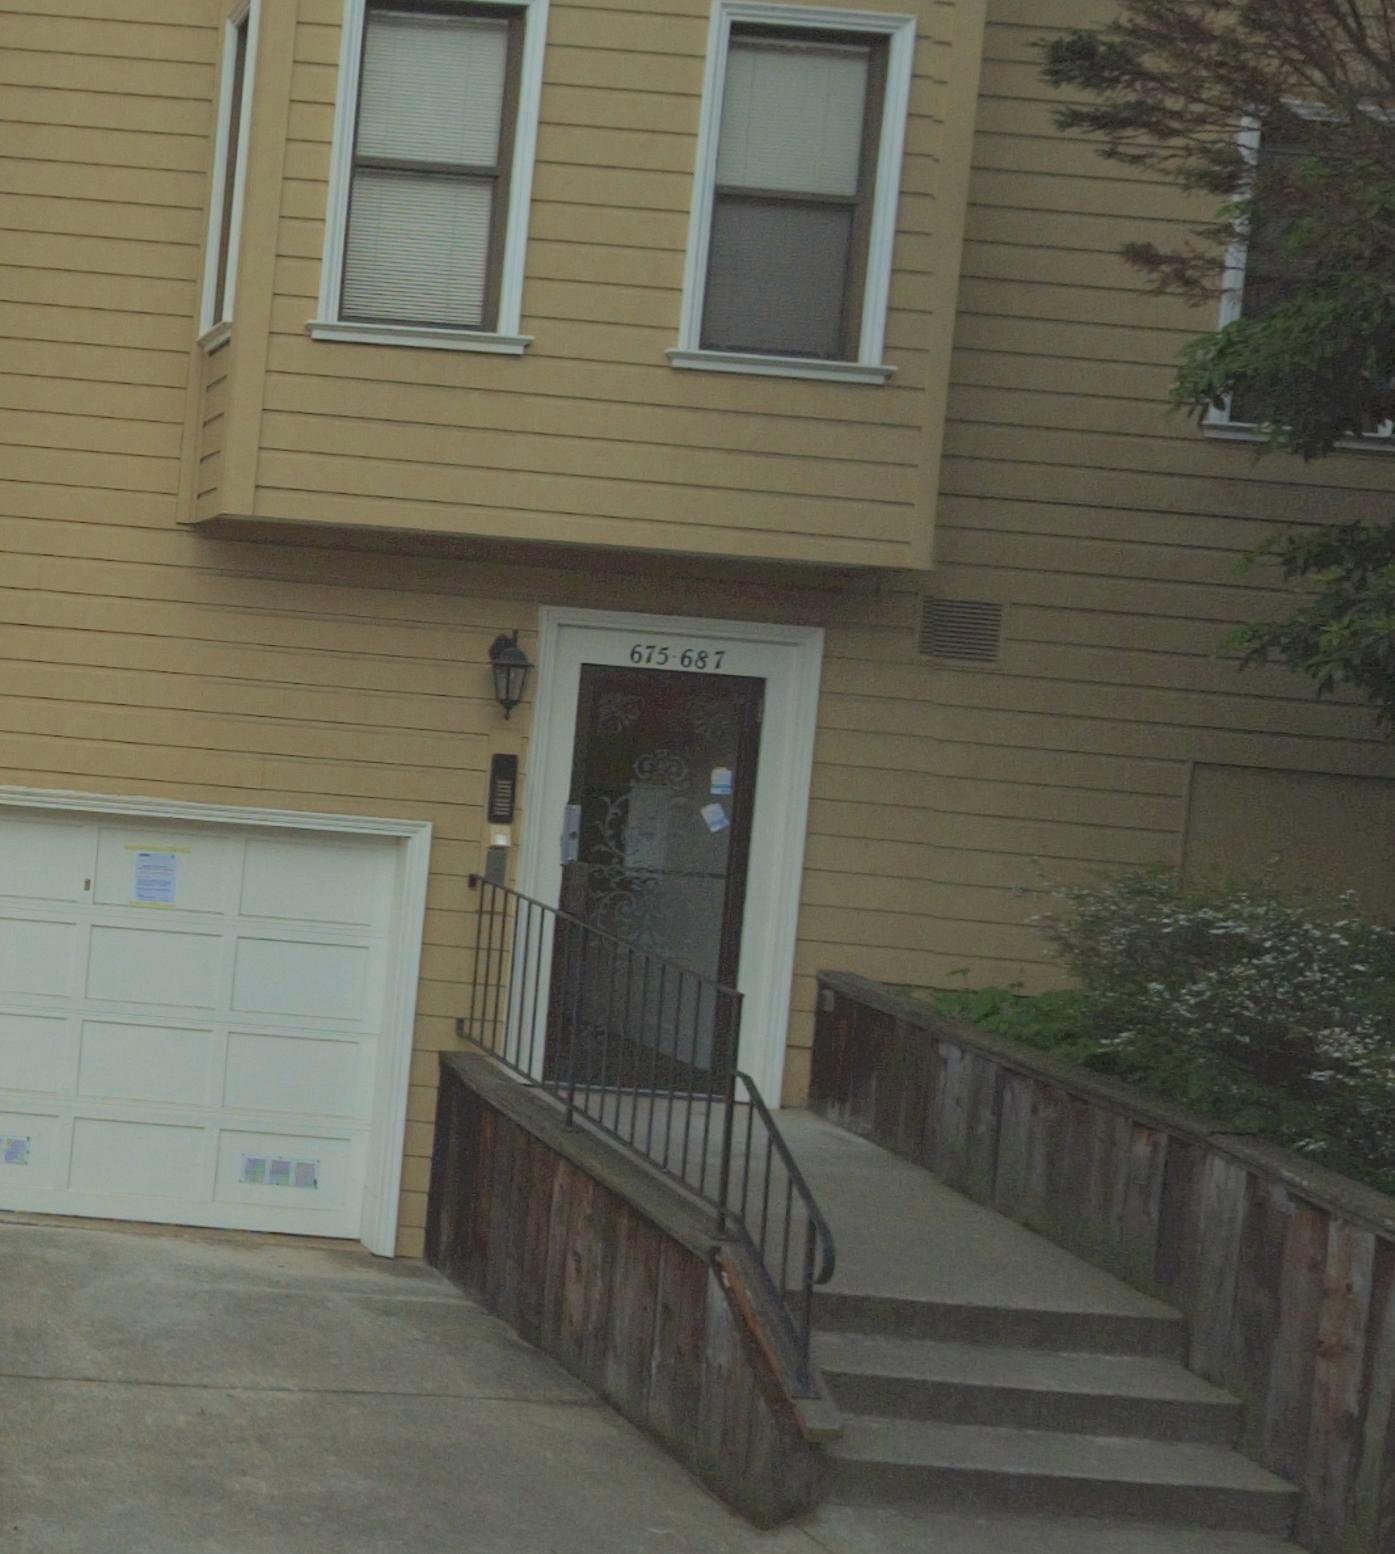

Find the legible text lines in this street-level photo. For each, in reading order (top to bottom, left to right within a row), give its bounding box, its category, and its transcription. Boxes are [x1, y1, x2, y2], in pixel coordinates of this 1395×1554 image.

[630, 643, 671, 666] StreetNumber: 675
[678, 648, 727, 670] StreetNumber: 687